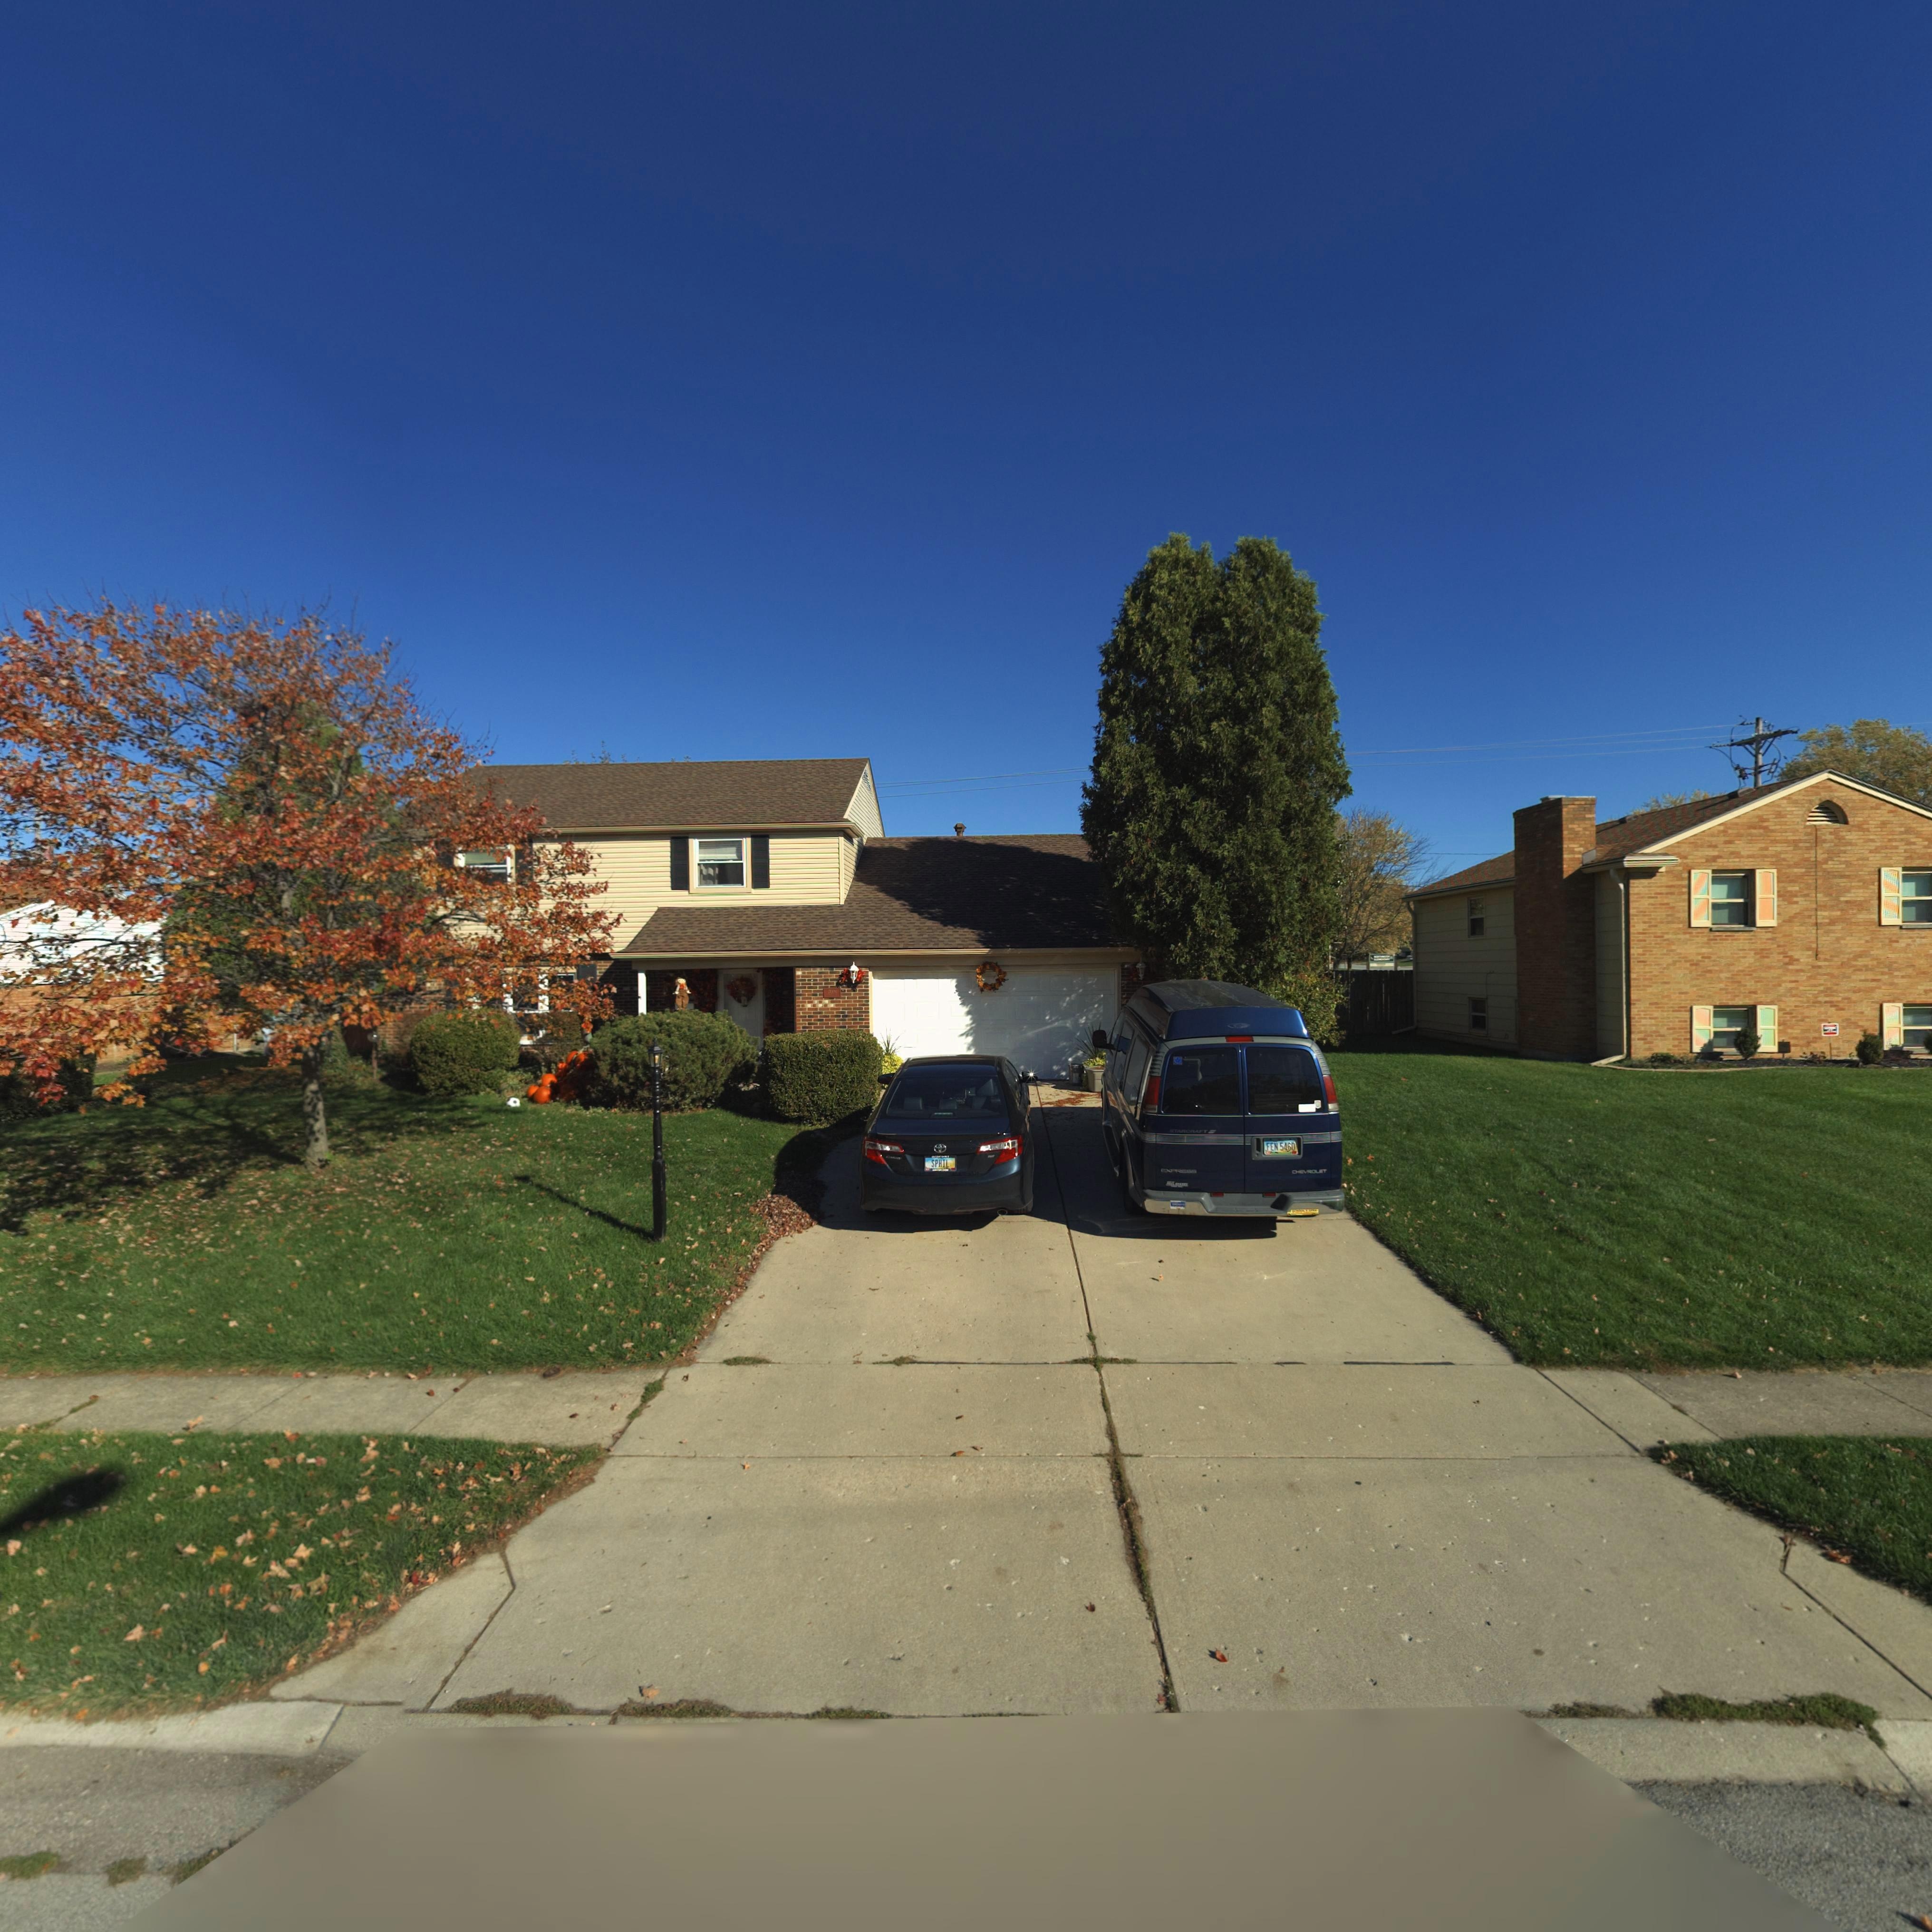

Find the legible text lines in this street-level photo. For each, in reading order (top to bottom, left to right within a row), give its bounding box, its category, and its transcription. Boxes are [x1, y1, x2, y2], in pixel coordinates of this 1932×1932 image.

[828, 989, 837, 994] StreetNumber: 700*
[1168, 1128, 1209, 1134] None: STARCRAFT
[1265, 1141, 1296, 1152] None: FEN*5460
[931, 1159, 950, 1169] None: SPHIL
[1159, 1168, 1198, 1174] None: EXPRESS
[1291, 1168, 1328, 1175] None: CH*VROLET